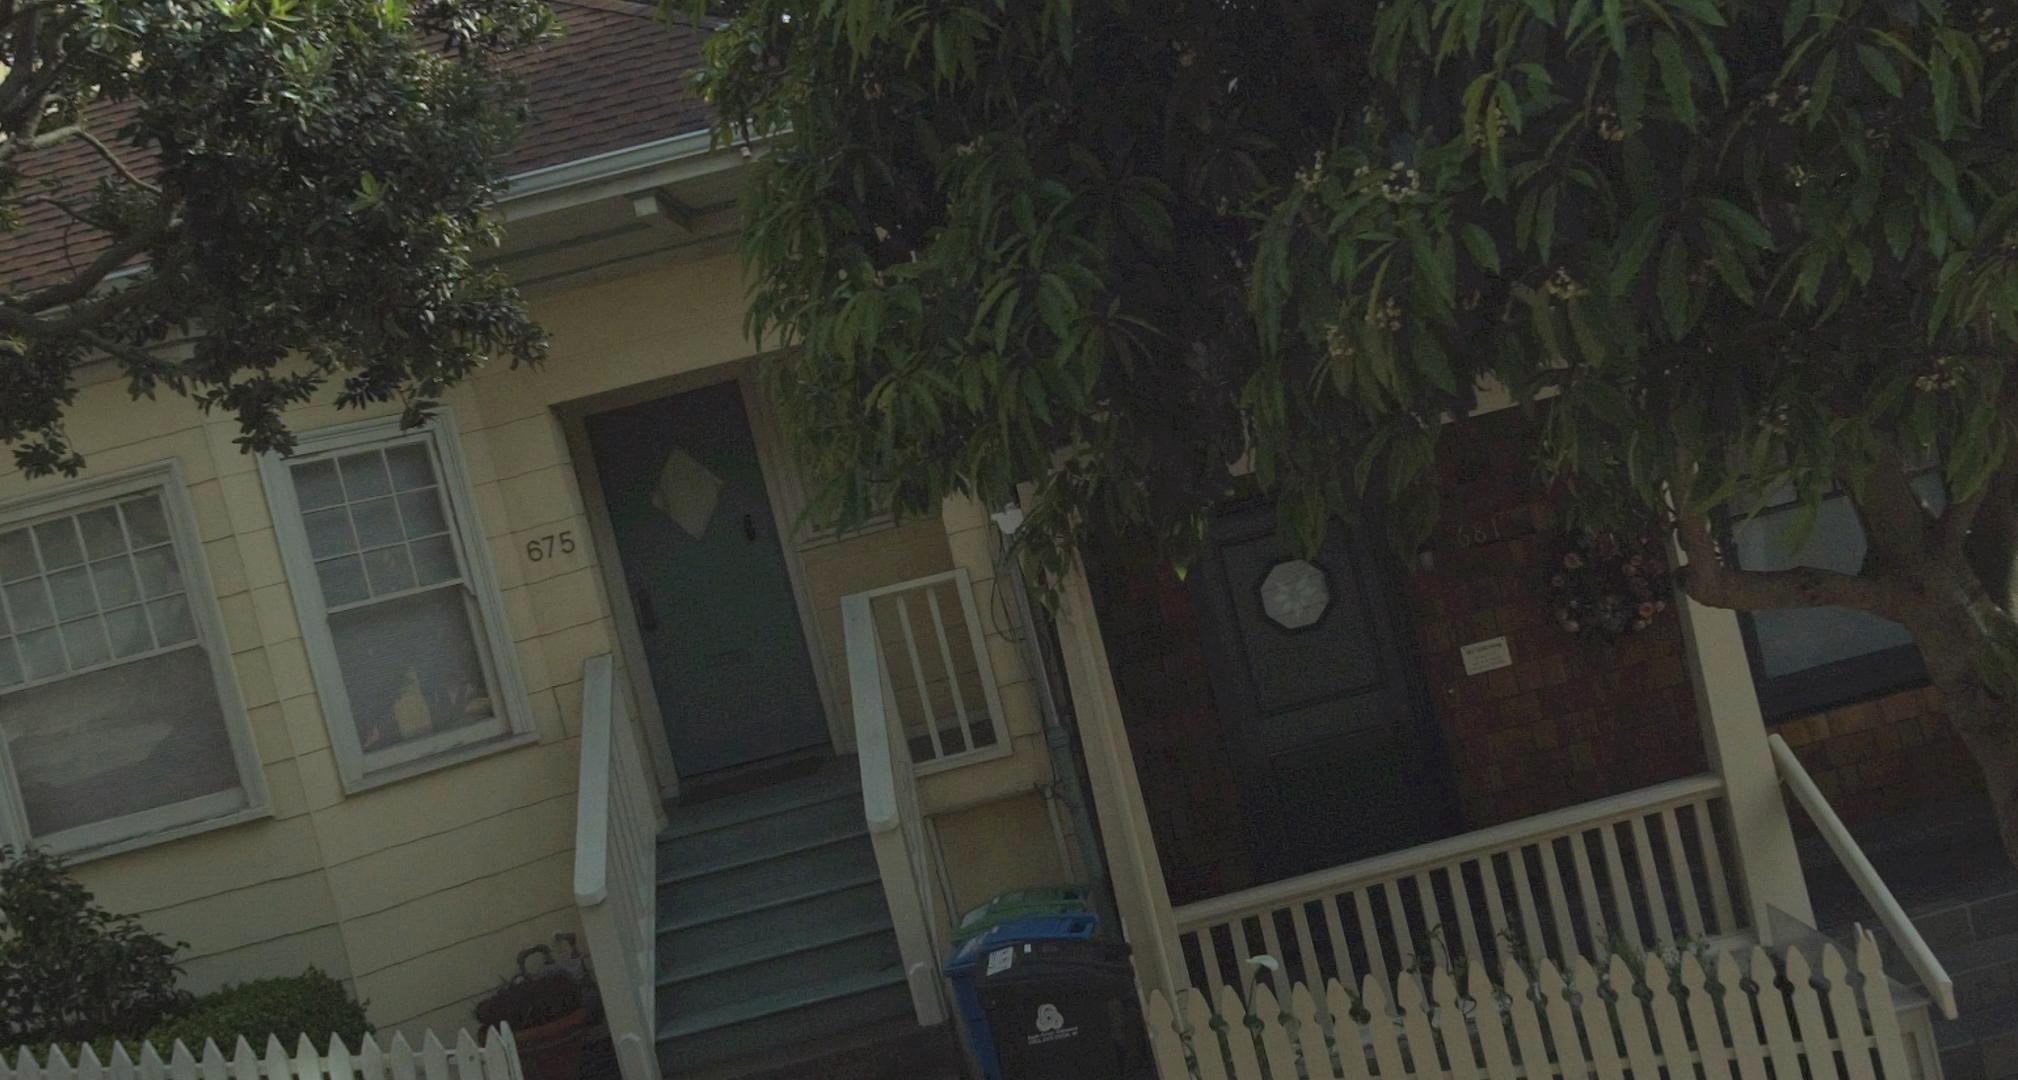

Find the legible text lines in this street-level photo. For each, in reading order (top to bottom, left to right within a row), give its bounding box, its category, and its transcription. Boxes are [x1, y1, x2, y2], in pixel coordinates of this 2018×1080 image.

[525, 528, 579, 564] StreetNumber: 675
[1454, 516, 1502, 549] StreetNumber: 681